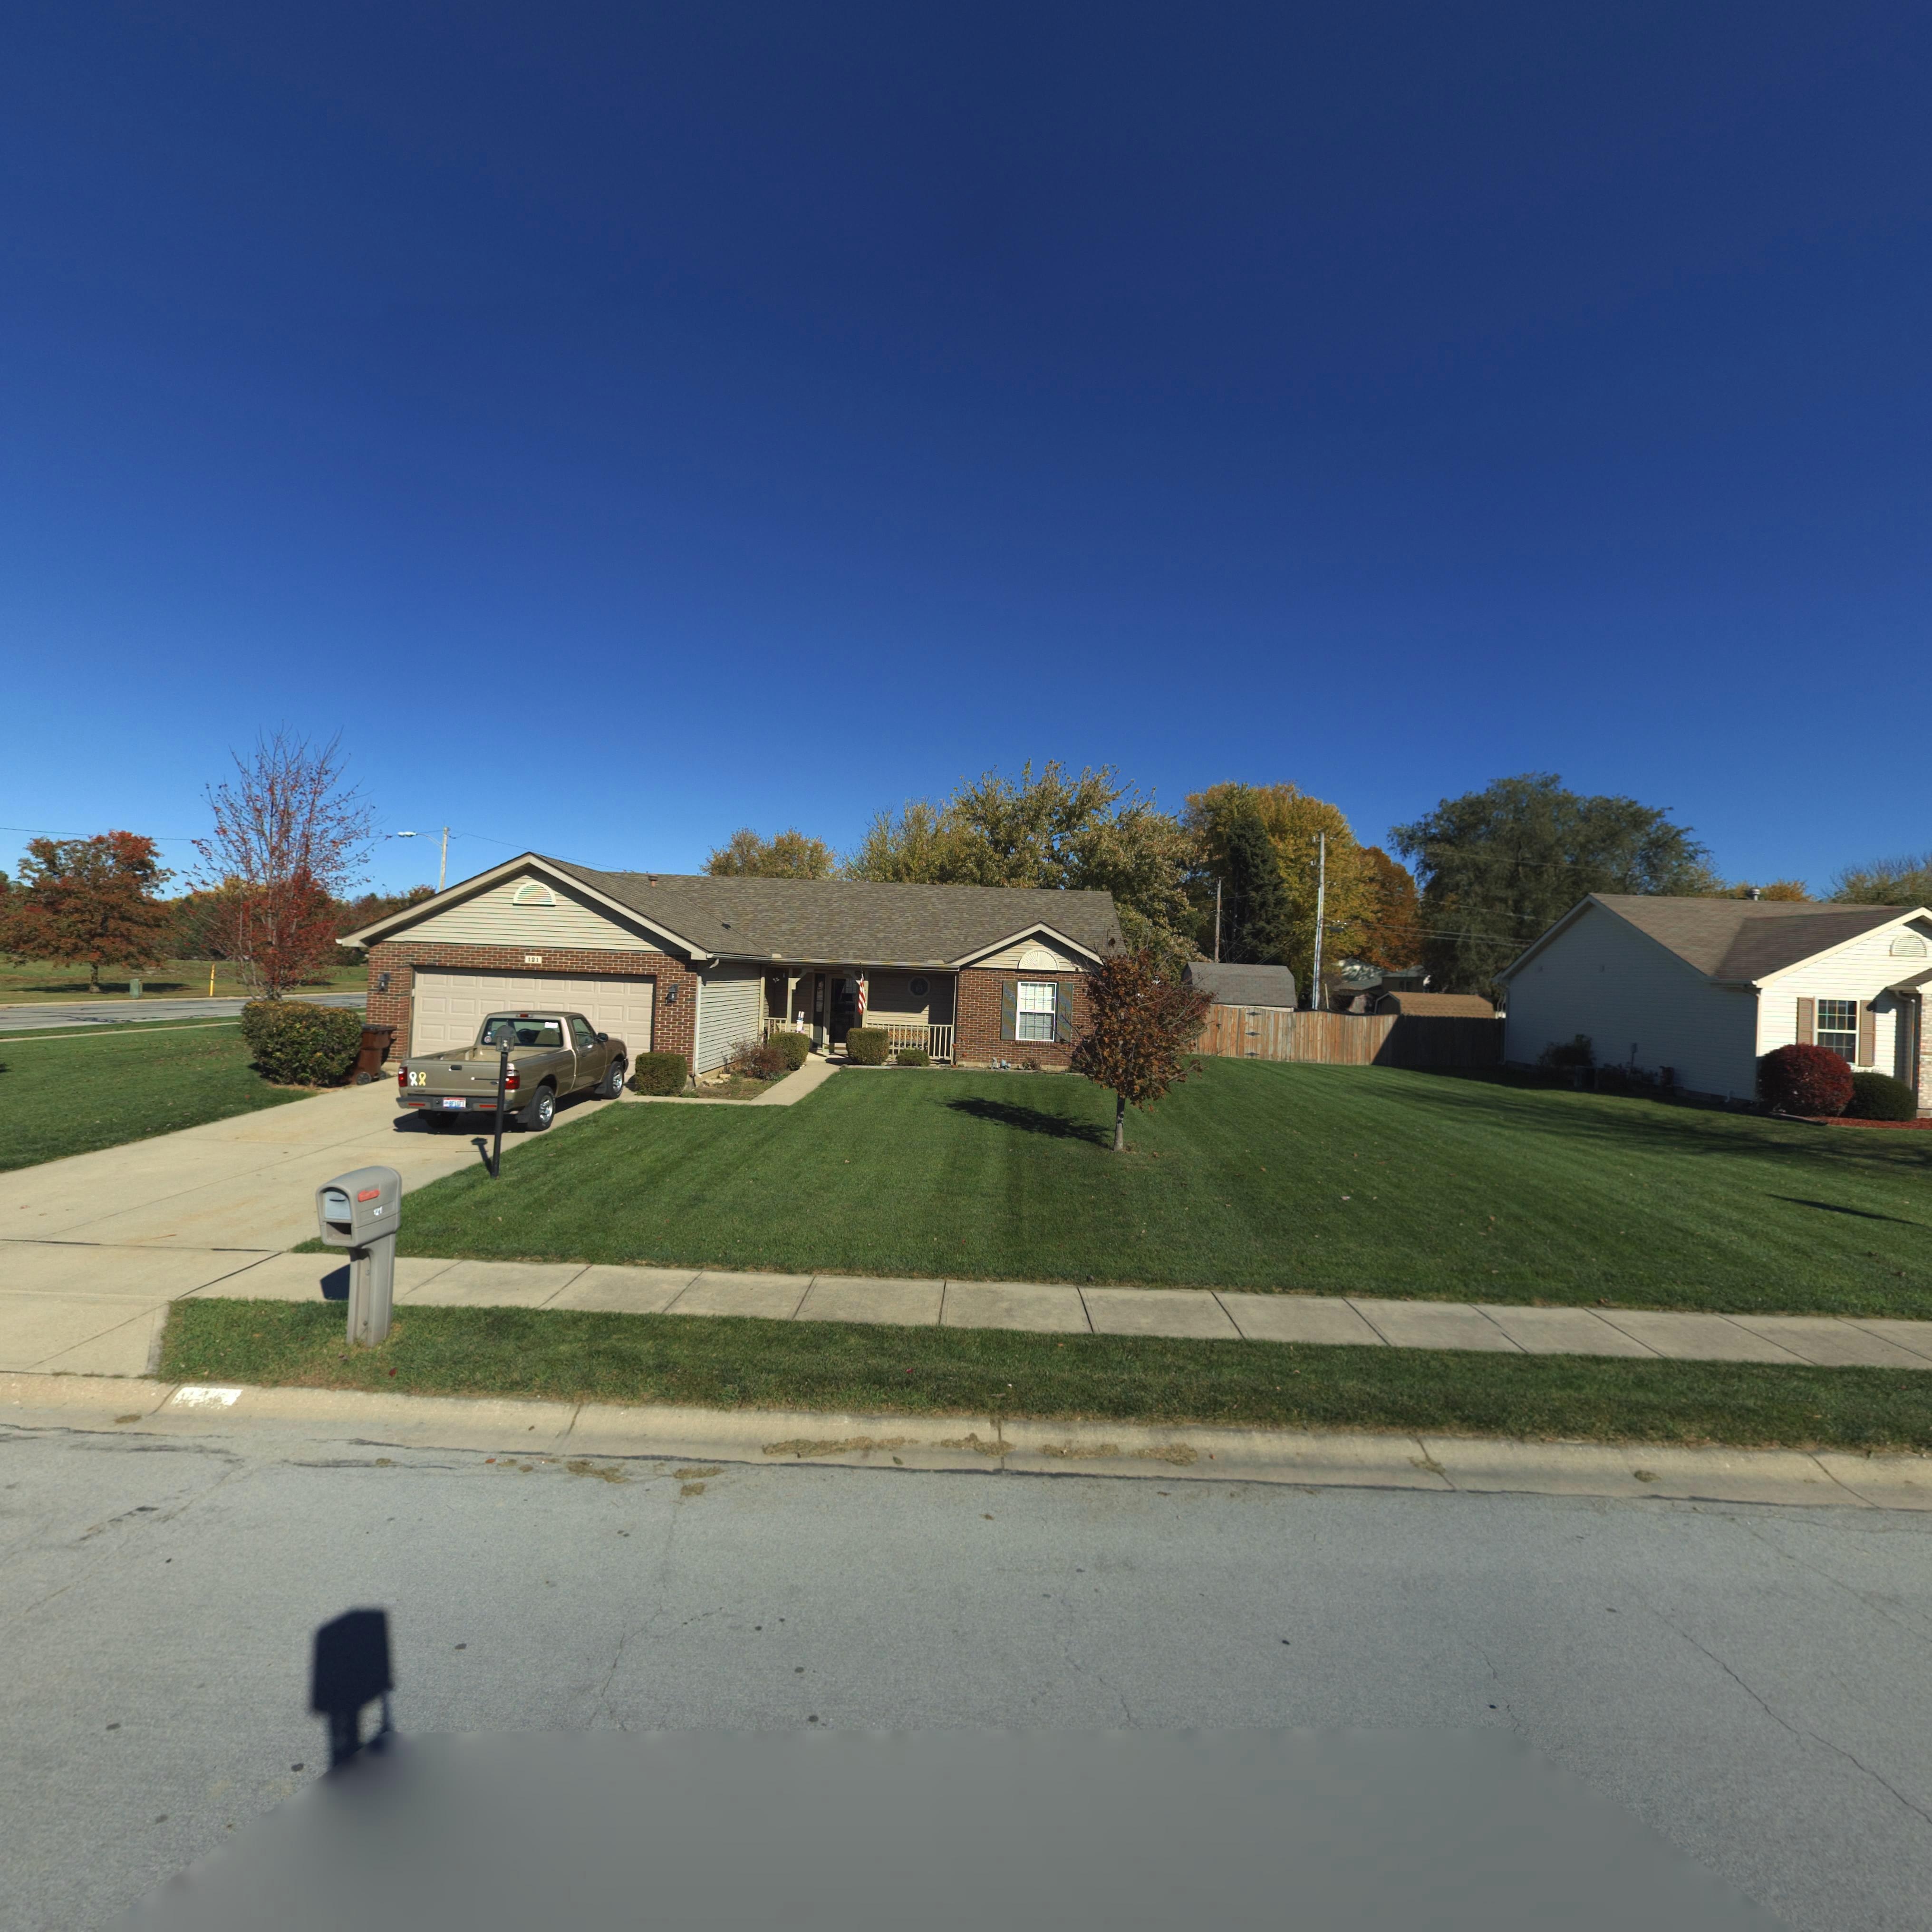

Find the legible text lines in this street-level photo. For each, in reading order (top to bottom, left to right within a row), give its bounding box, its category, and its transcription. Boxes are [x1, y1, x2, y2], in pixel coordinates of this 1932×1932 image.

[528, 956, 539, 963] StreetNumber: 121
[373, 1205, 383, 1217] StreetNumber: 121